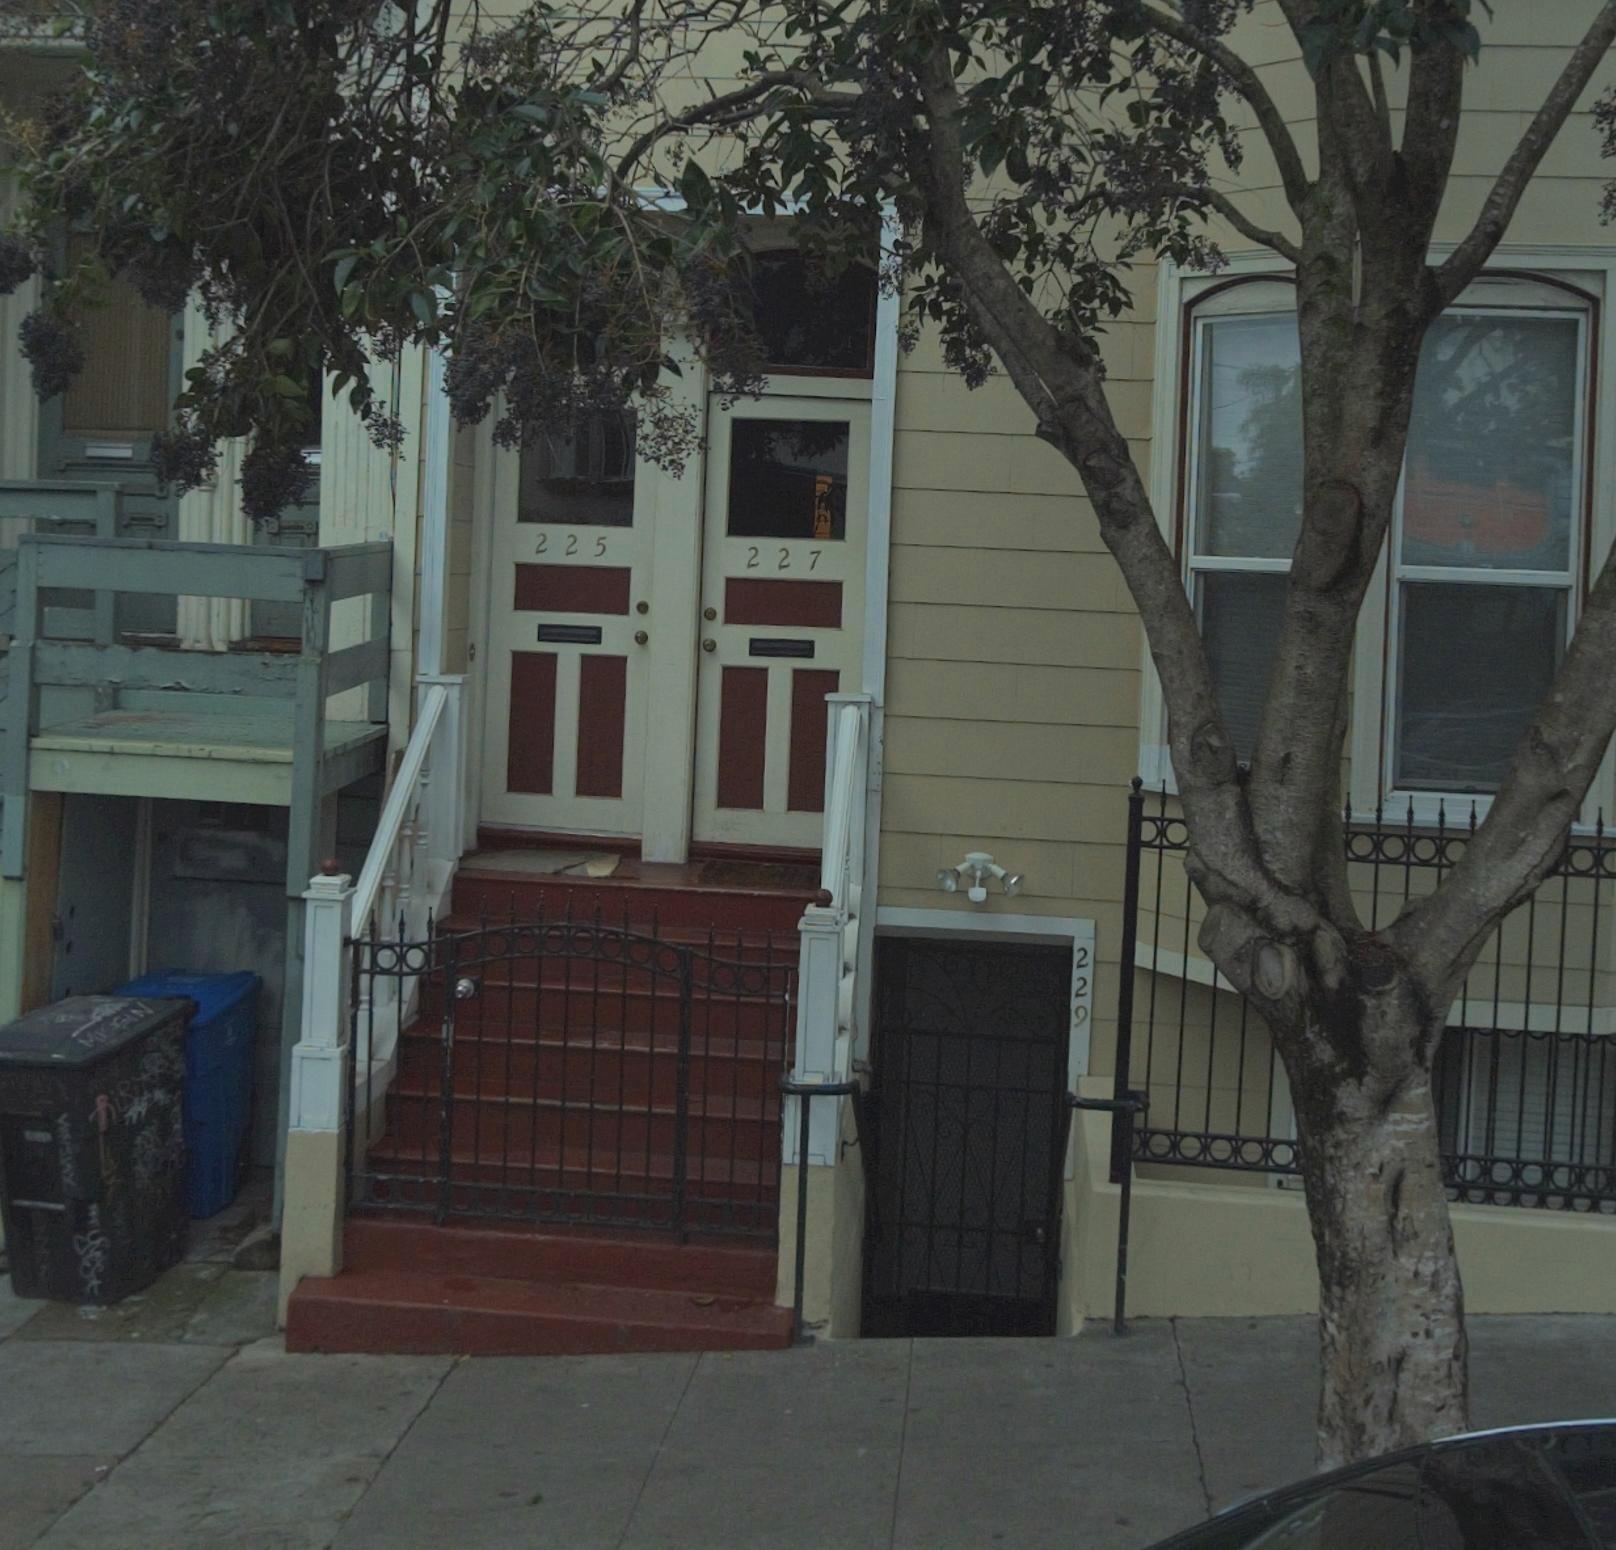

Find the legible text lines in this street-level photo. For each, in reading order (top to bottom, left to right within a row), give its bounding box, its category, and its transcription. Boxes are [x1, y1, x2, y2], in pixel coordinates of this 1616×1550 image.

[532, 529, 611, 561] StreetNumber: 225
[743, 543, 827, 574] StreetNumber: 227
[1070, 944, 1092, 1035] StreetNumber: 229